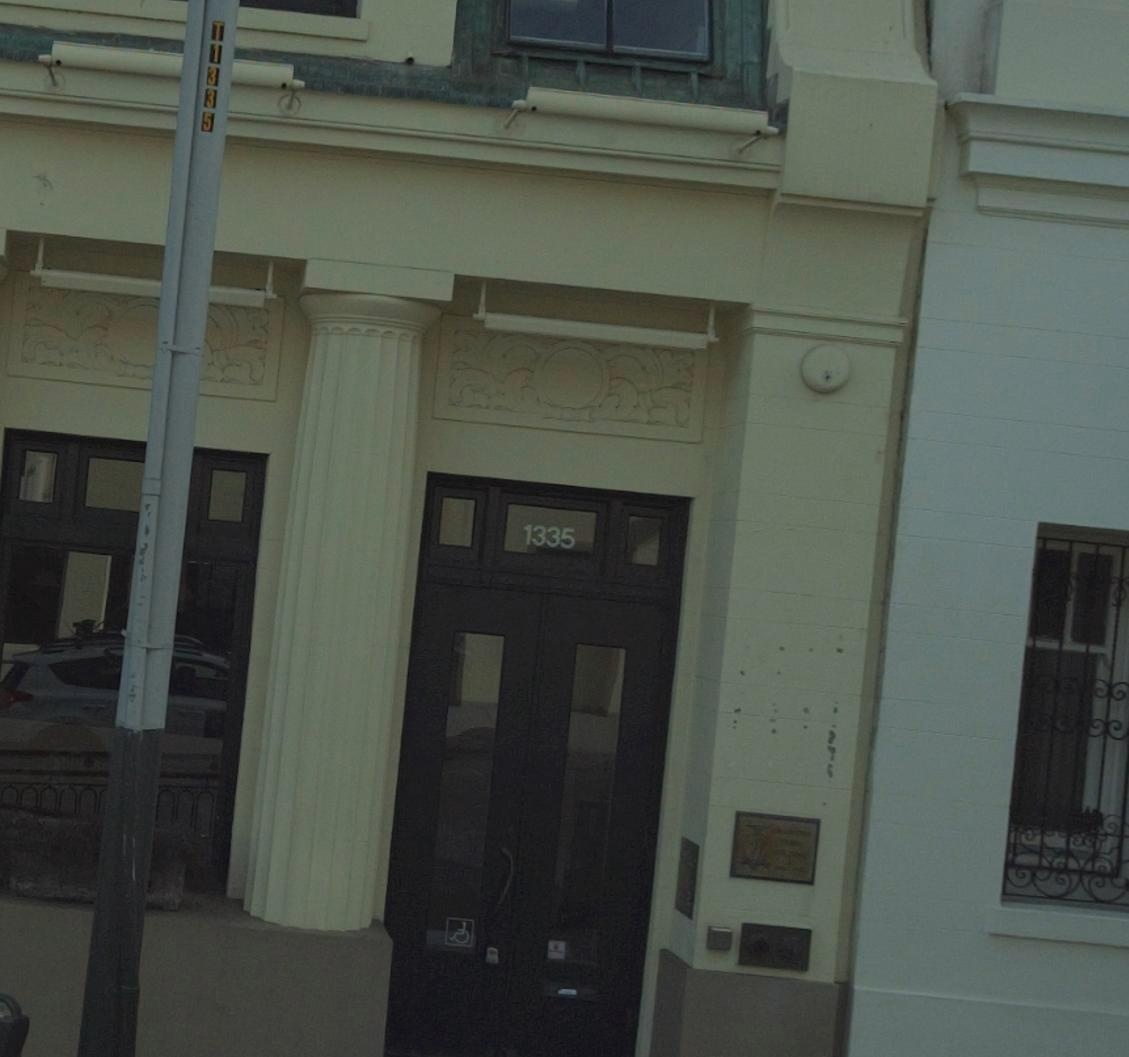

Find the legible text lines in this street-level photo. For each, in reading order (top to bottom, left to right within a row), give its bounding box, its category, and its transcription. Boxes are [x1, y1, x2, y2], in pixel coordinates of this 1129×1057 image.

[200, 19, 227, 135] None: T1335
[519, 520, 580, 553] StreetNumber: 1335